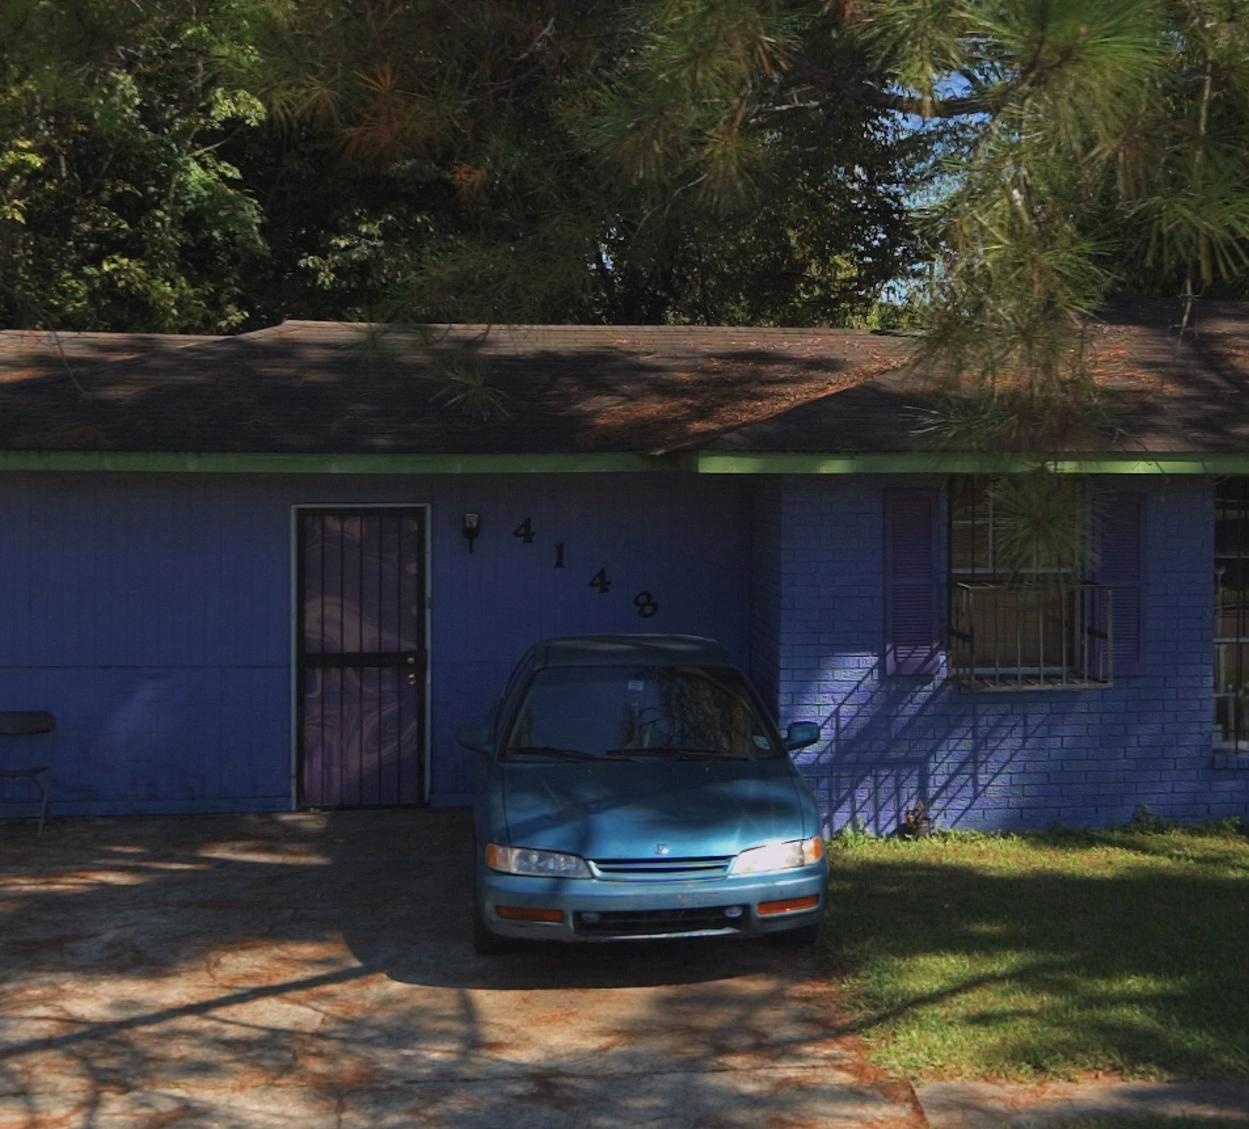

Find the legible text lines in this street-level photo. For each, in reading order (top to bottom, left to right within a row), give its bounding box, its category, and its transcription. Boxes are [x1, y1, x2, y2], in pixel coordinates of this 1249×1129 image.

[508, 513, 661, 620] StreetNumber: 4148